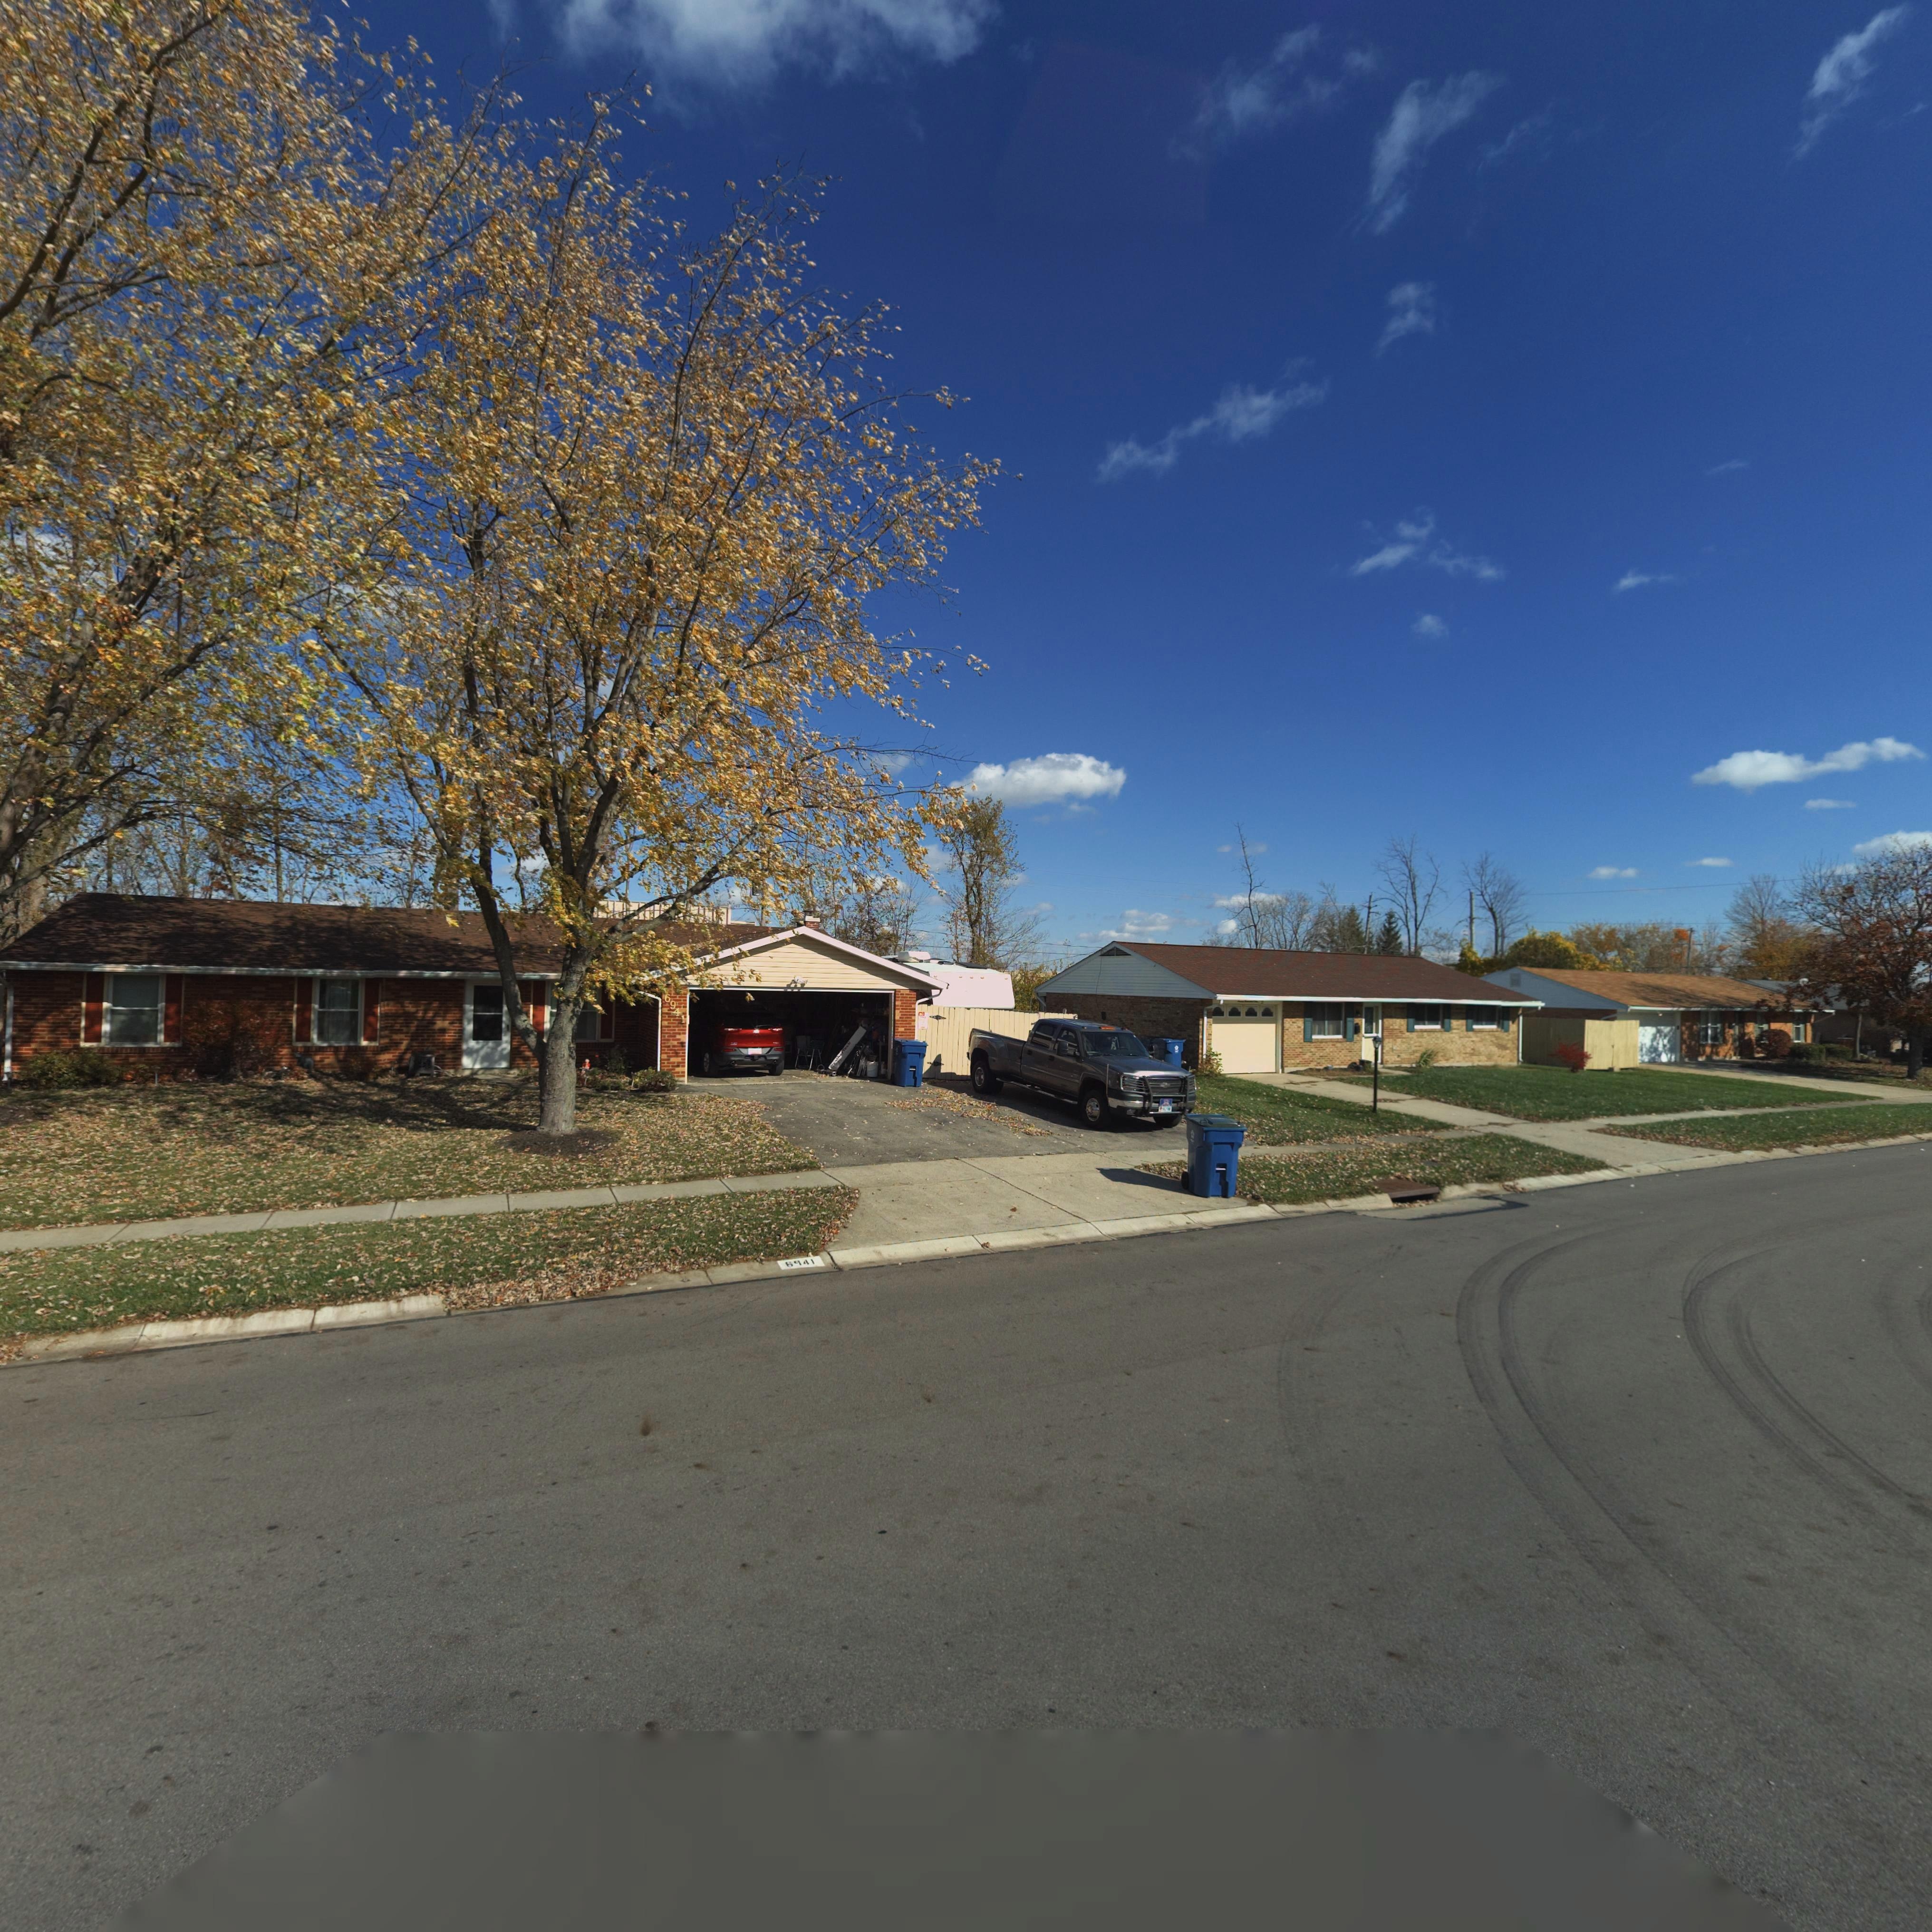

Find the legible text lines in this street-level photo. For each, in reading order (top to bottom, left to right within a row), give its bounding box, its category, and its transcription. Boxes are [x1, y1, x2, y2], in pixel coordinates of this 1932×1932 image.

[664, 992, 686, 1024] StreetNumber: 6941
[783, 1257, 816, 1269] StreetNumber: 6941